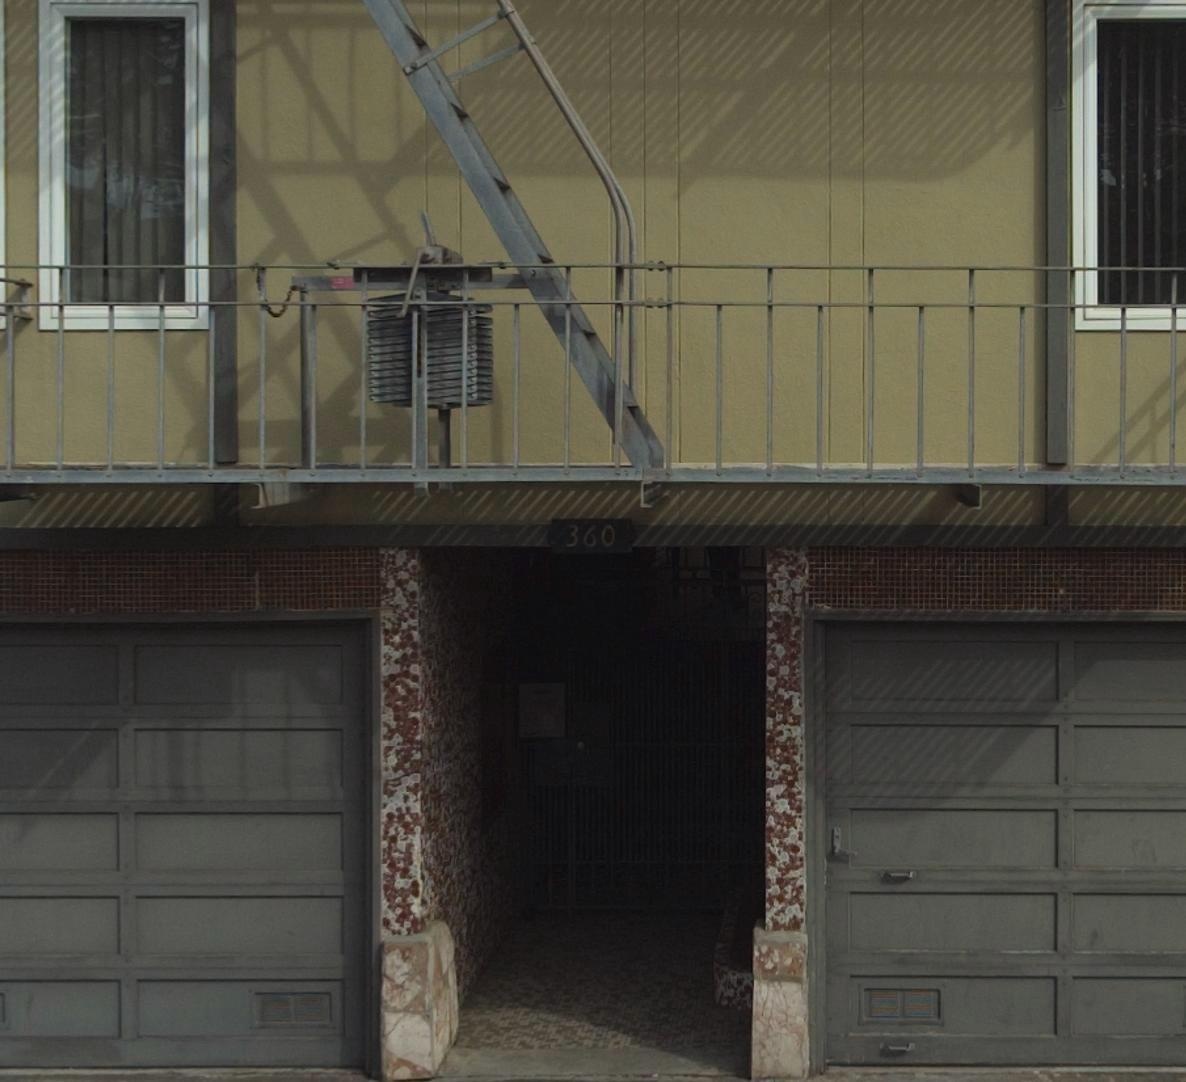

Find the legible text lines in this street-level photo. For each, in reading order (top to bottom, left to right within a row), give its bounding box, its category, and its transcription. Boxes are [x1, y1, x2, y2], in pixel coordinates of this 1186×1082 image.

[563, 521, 617, 549] StreetNumber: 360